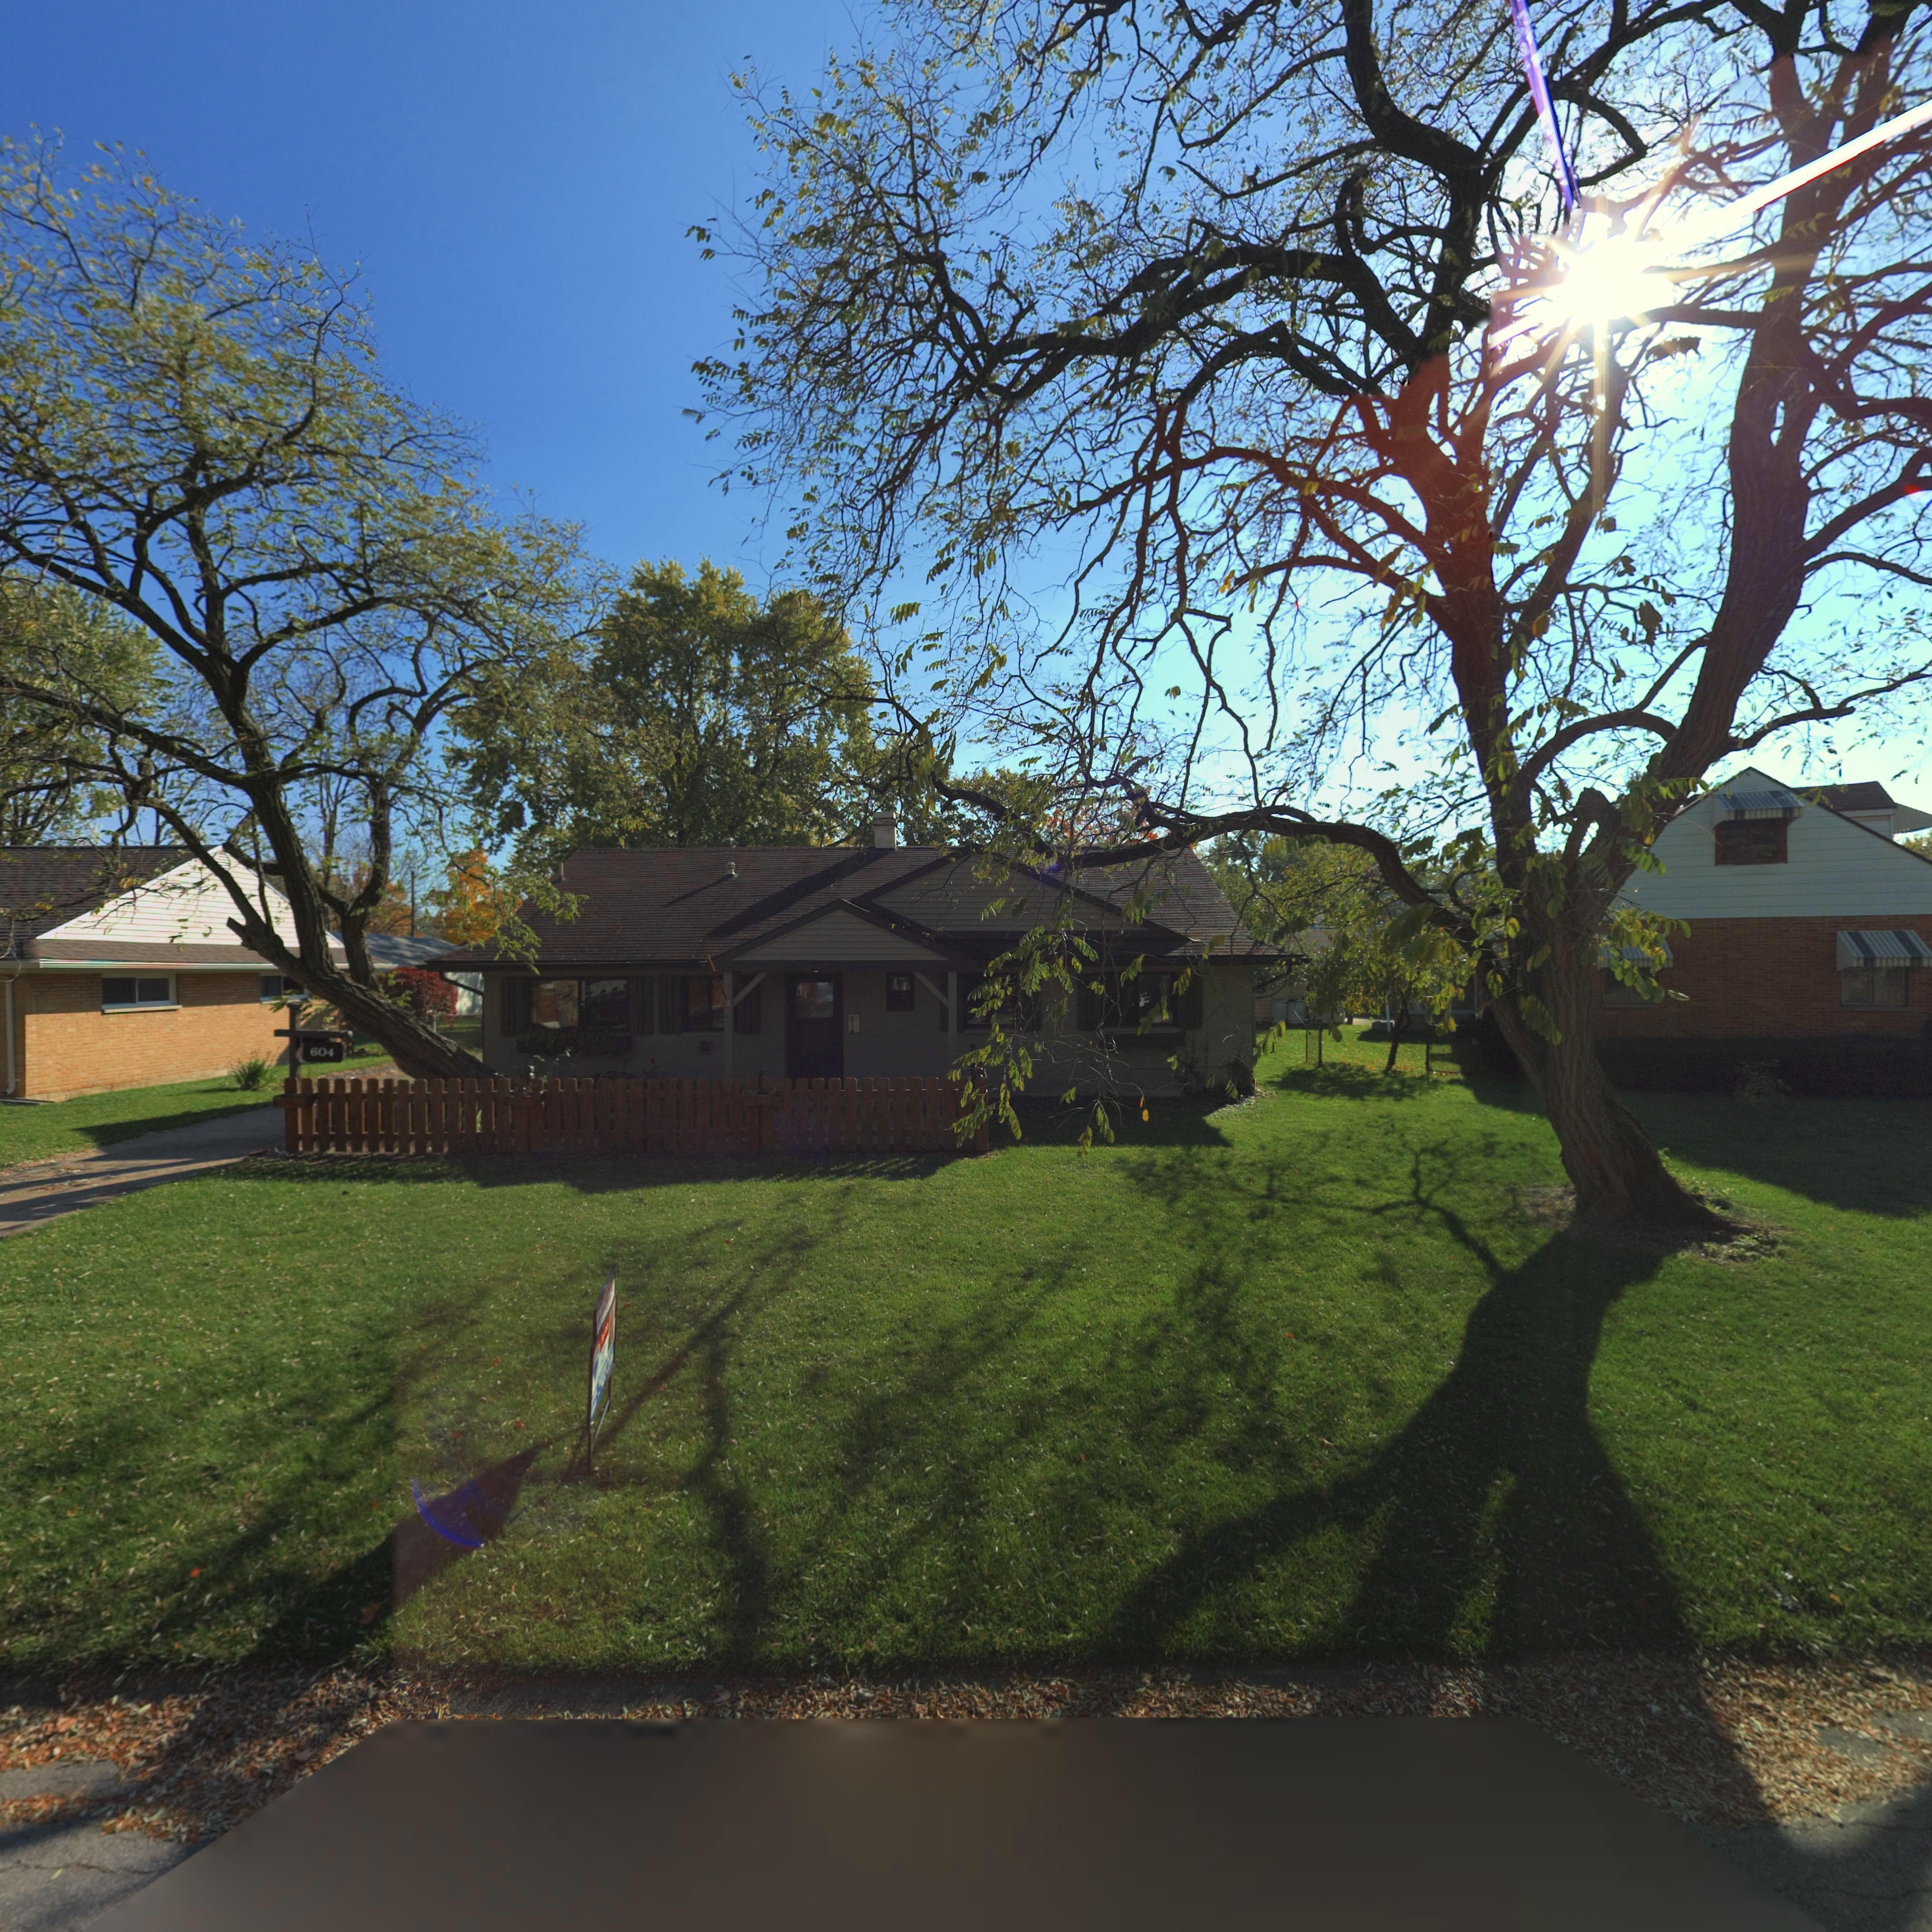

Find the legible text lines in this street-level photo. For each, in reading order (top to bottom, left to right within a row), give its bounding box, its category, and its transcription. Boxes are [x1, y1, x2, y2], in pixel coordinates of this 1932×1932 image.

[308, 1046, 335, 1058] StreetNumber: 604